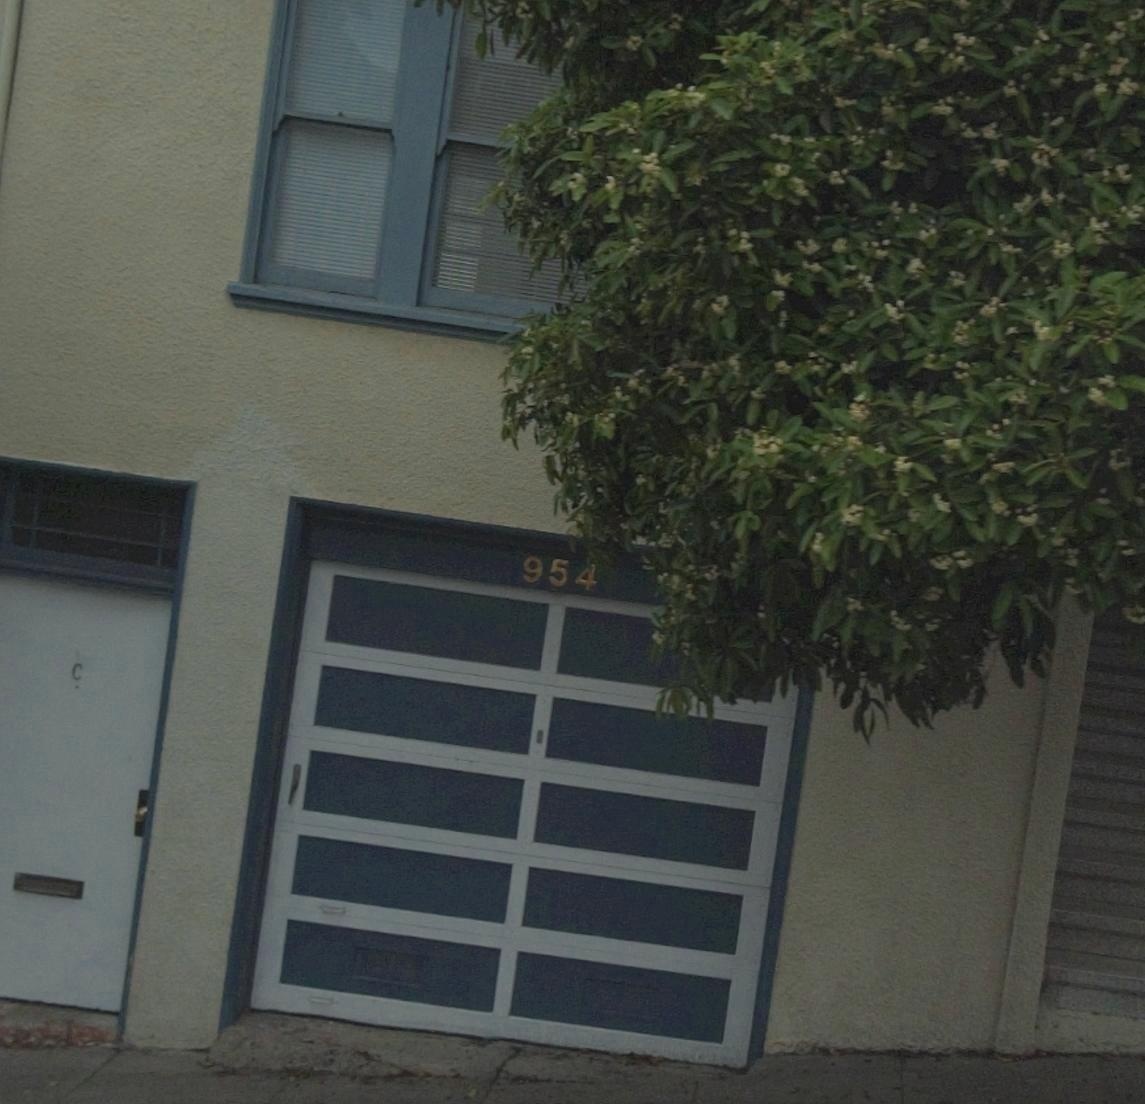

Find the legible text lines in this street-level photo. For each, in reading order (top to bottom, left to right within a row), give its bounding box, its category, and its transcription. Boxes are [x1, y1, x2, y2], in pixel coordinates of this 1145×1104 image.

[519, 553, 601, 595] StreetNumber: 954
[70, 660, 85, 682] None: C